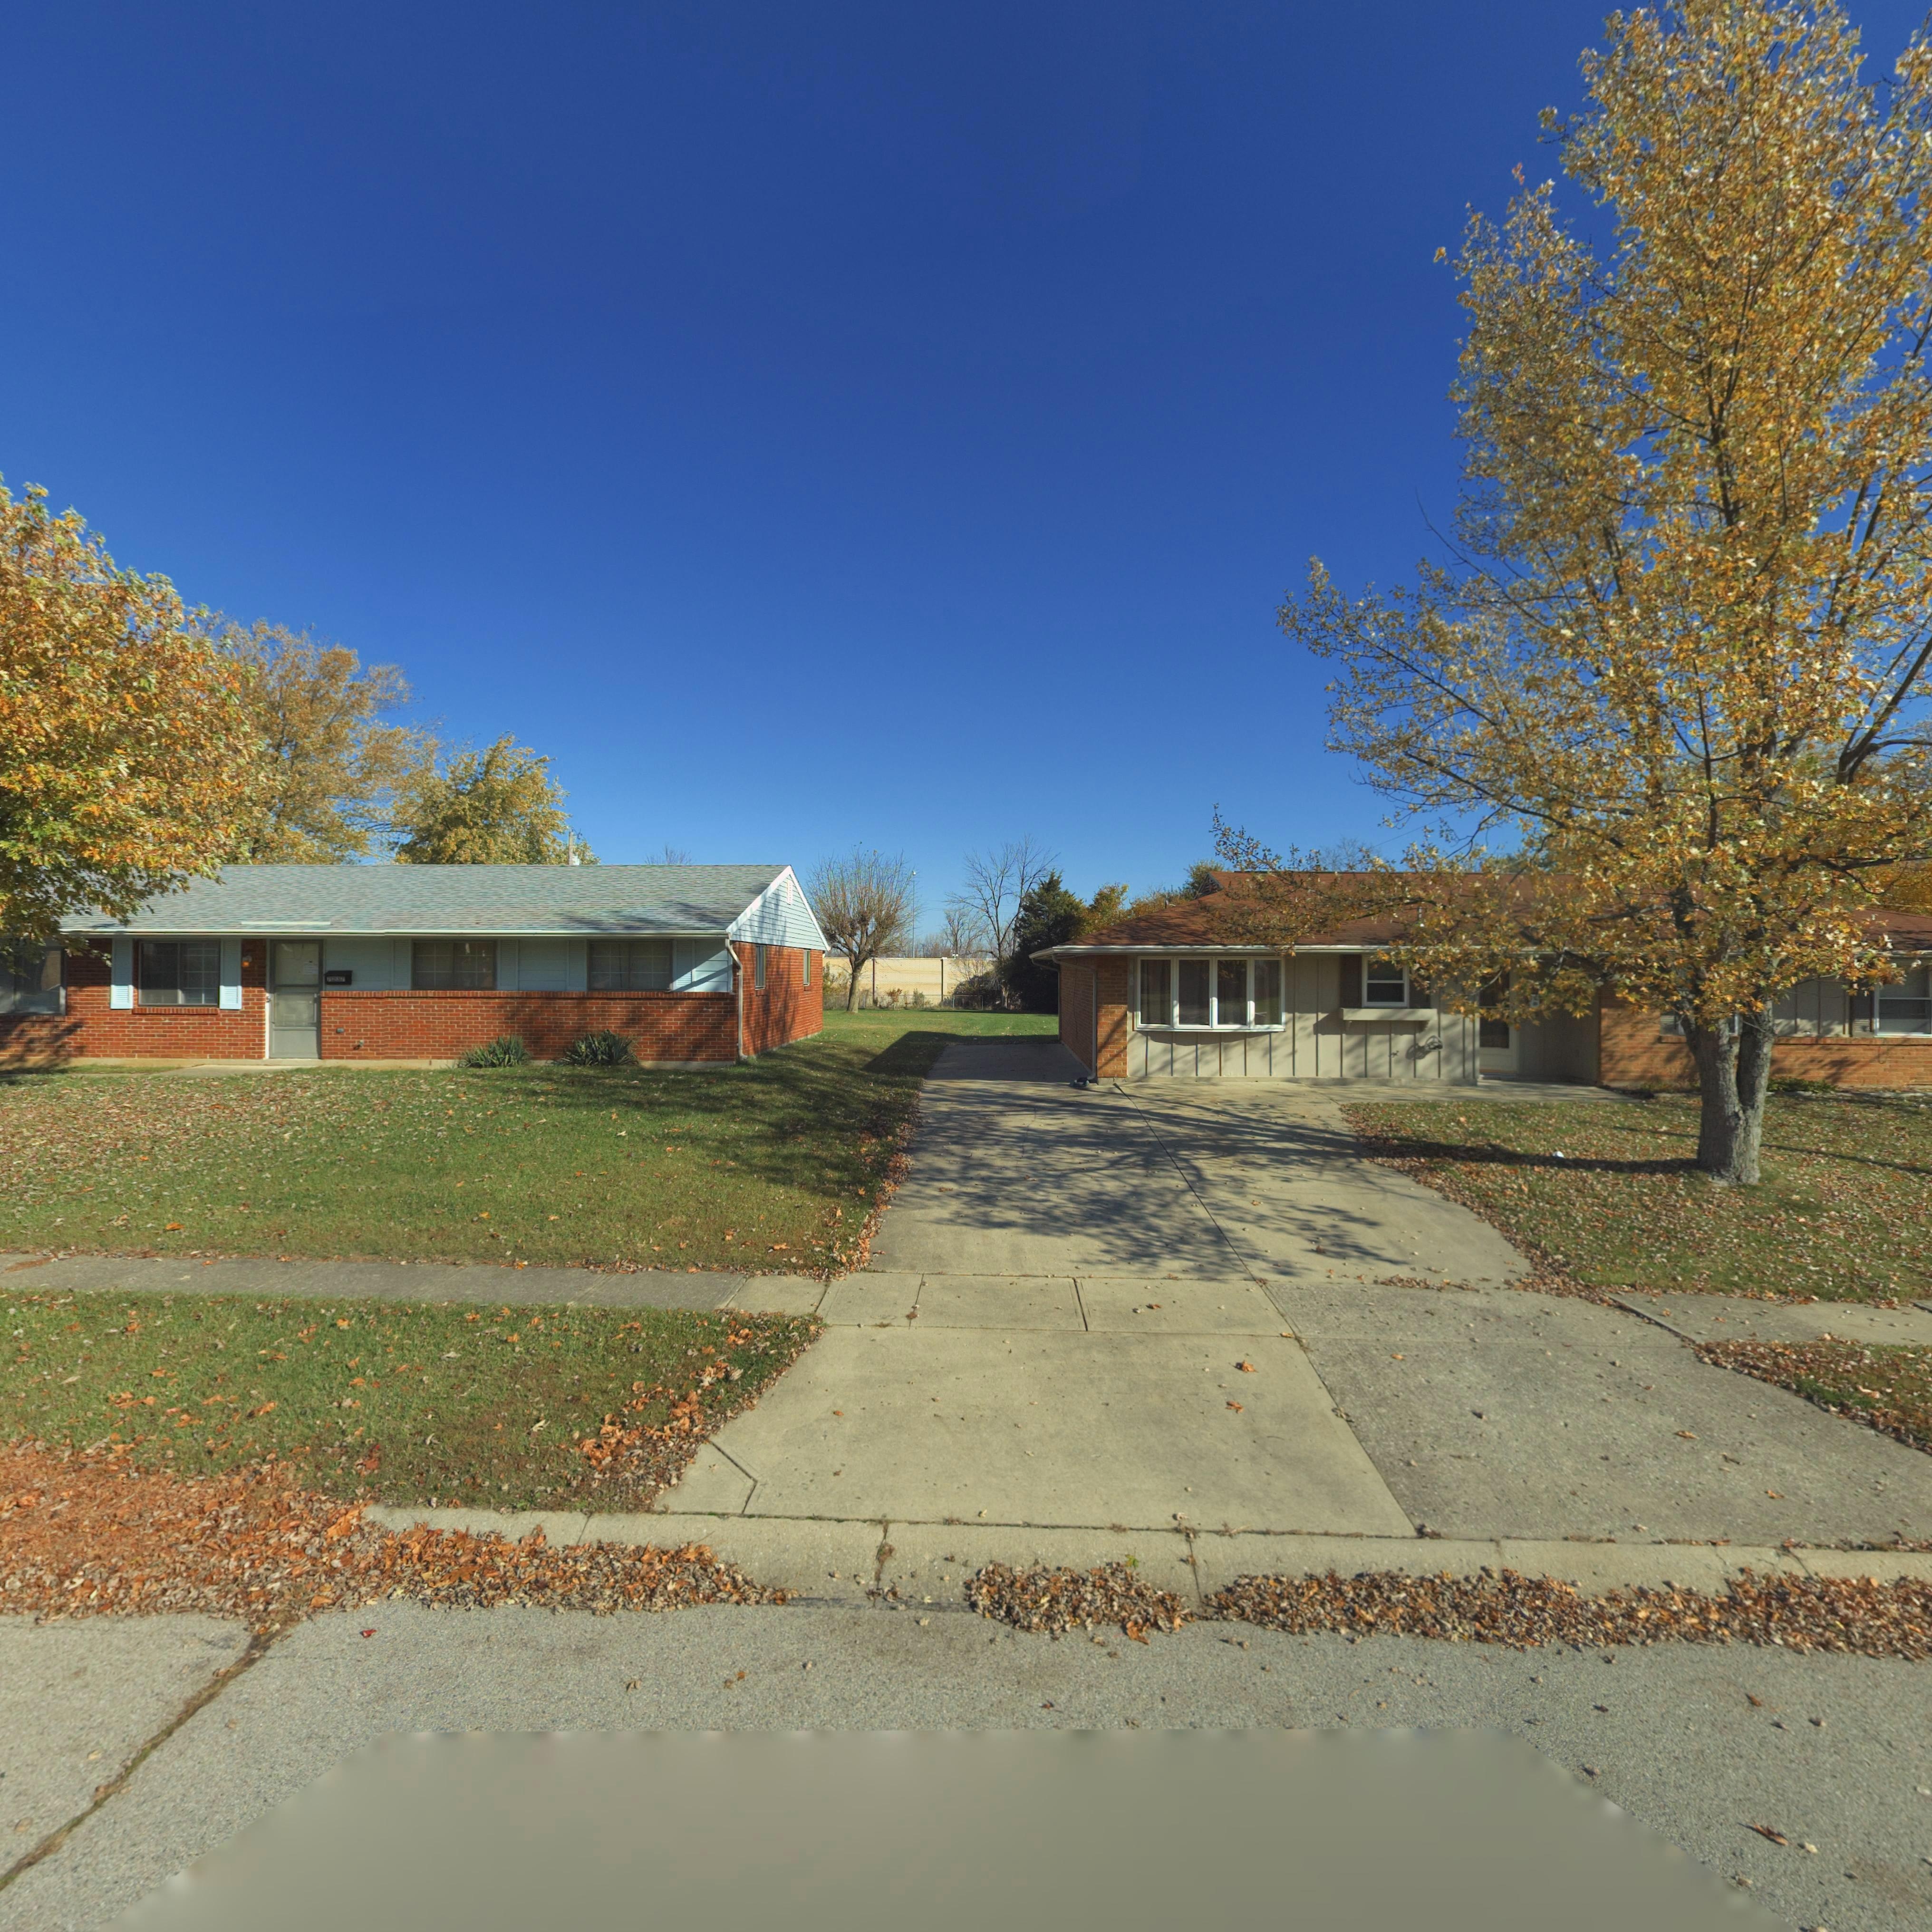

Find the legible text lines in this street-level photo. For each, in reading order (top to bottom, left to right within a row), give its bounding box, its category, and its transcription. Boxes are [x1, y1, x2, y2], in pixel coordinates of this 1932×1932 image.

[1451, 976, 1459, 985] StreetNumber: 4